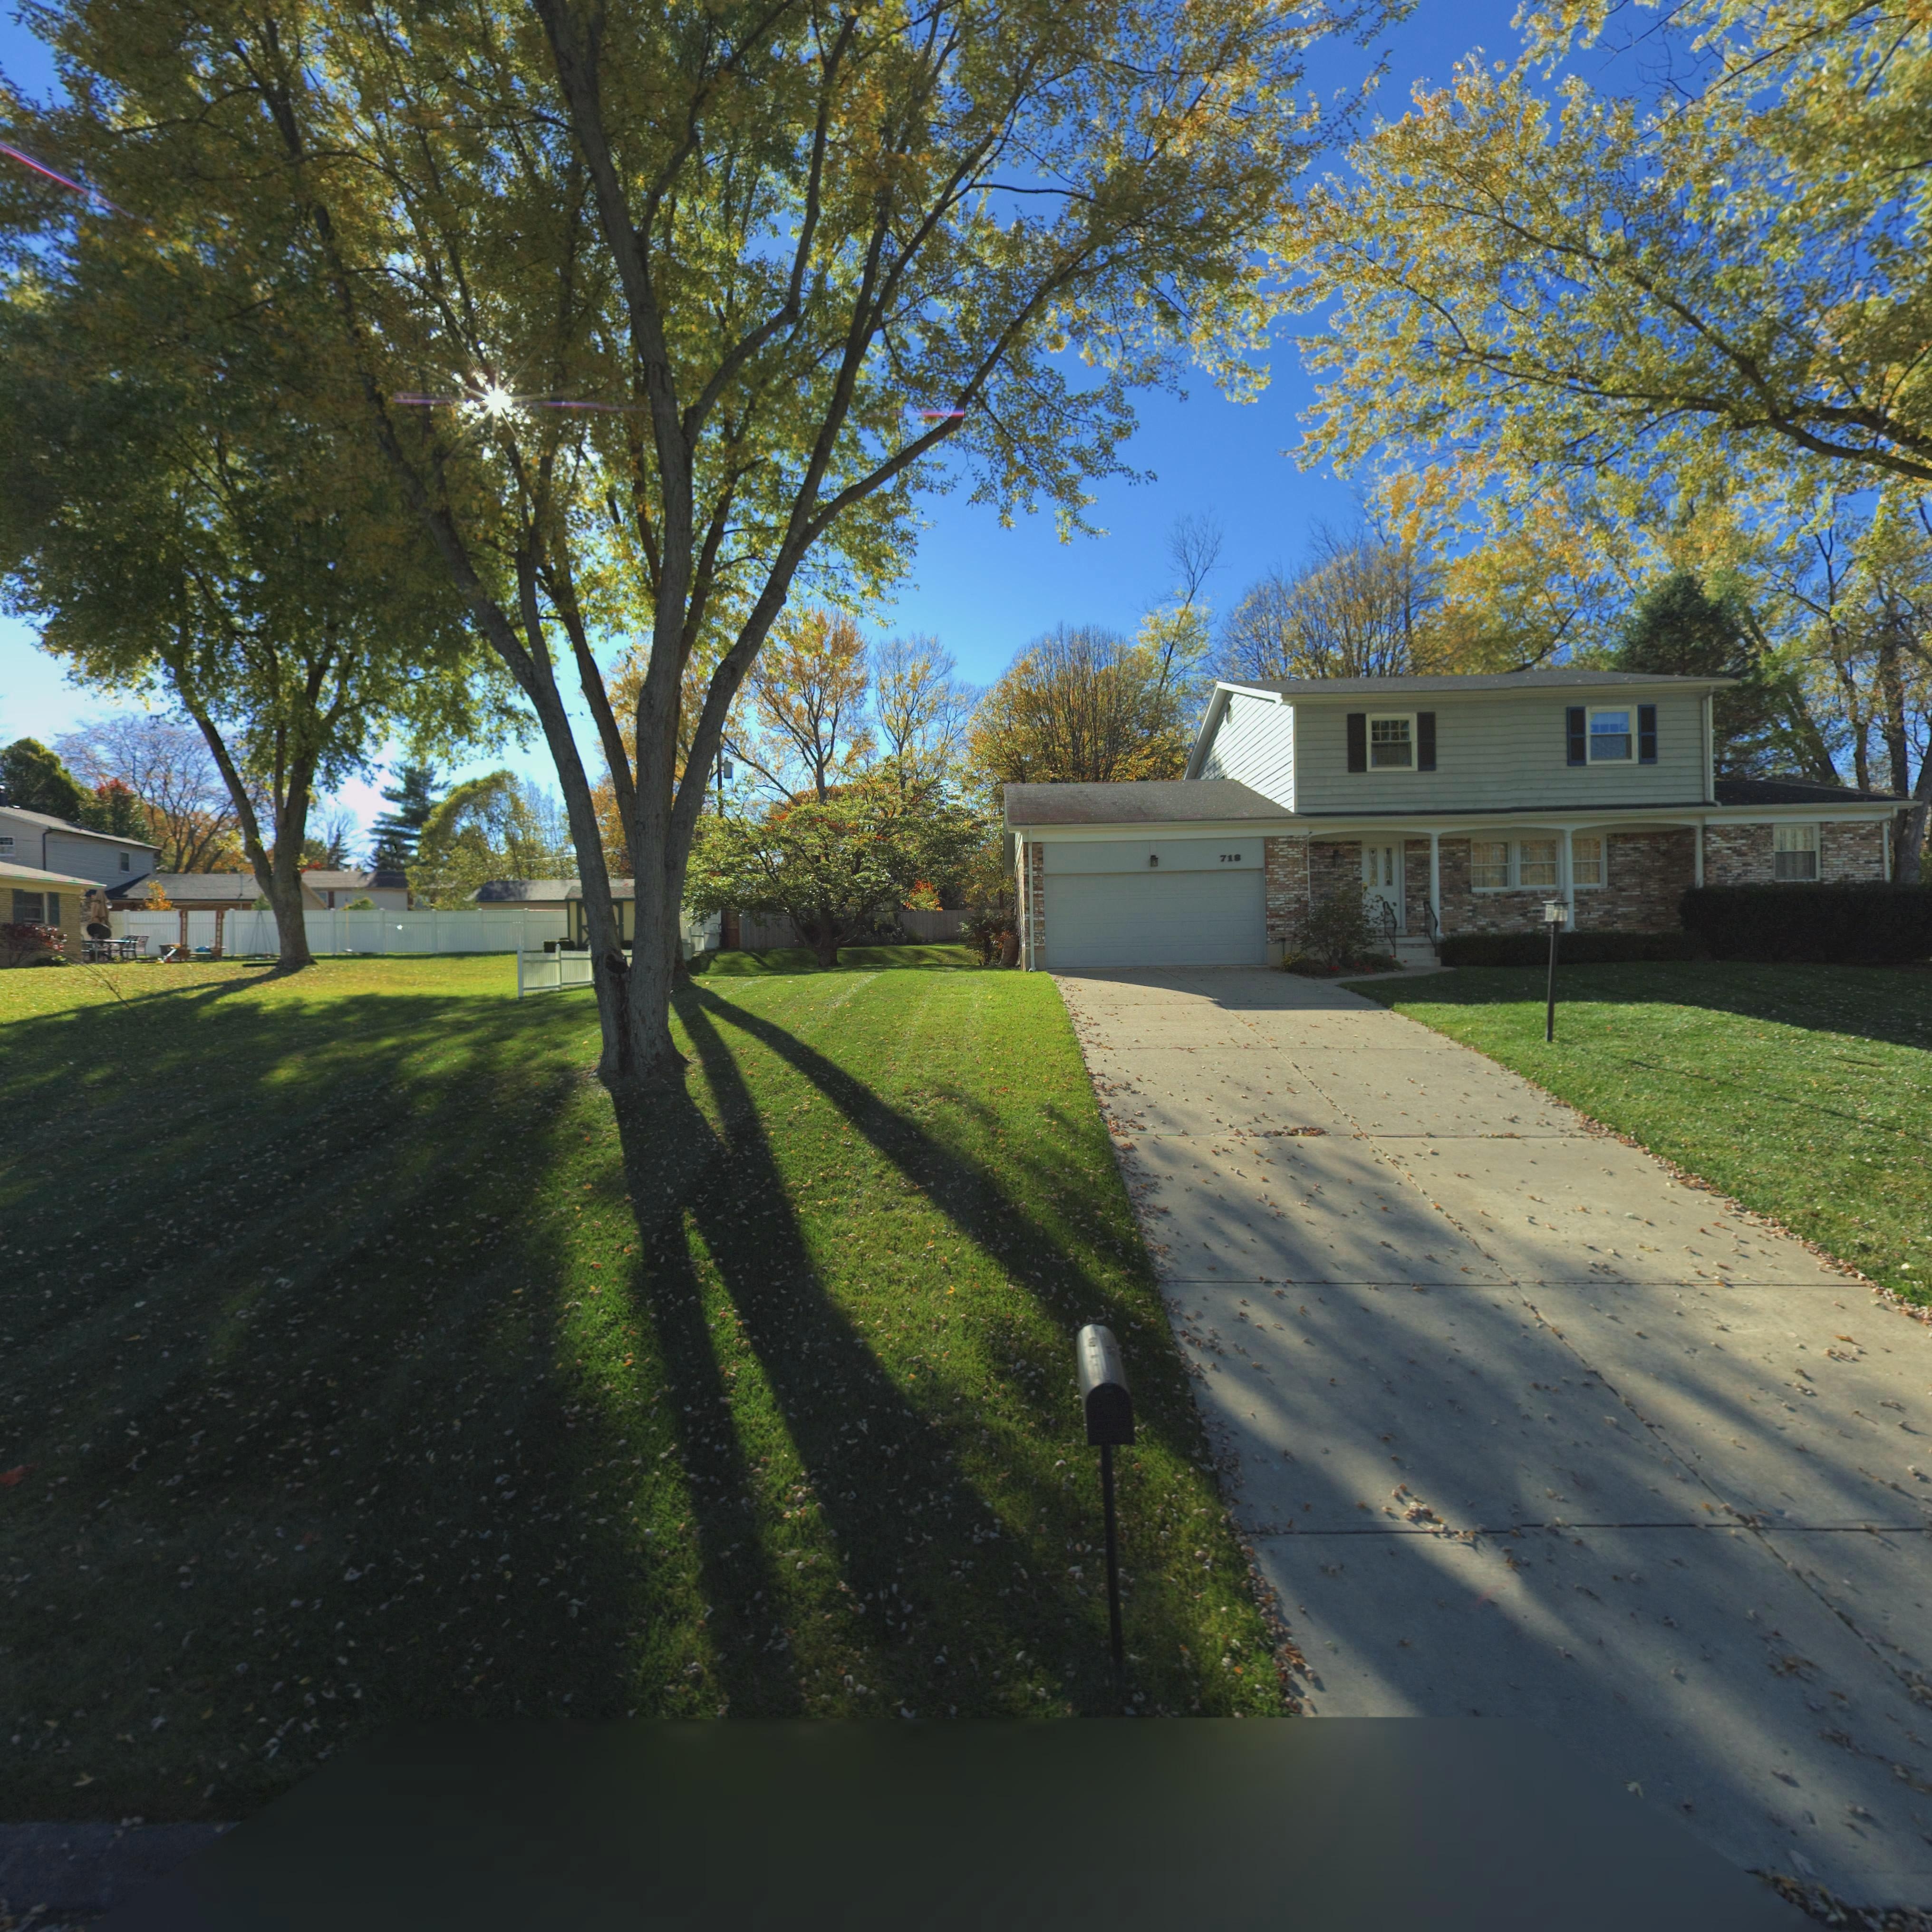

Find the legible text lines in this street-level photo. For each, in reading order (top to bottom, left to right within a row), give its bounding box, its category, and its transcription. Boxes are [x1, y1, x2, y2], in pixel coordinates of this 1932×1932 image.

[1219, 853, 1241, 862] StreetNumber: 718